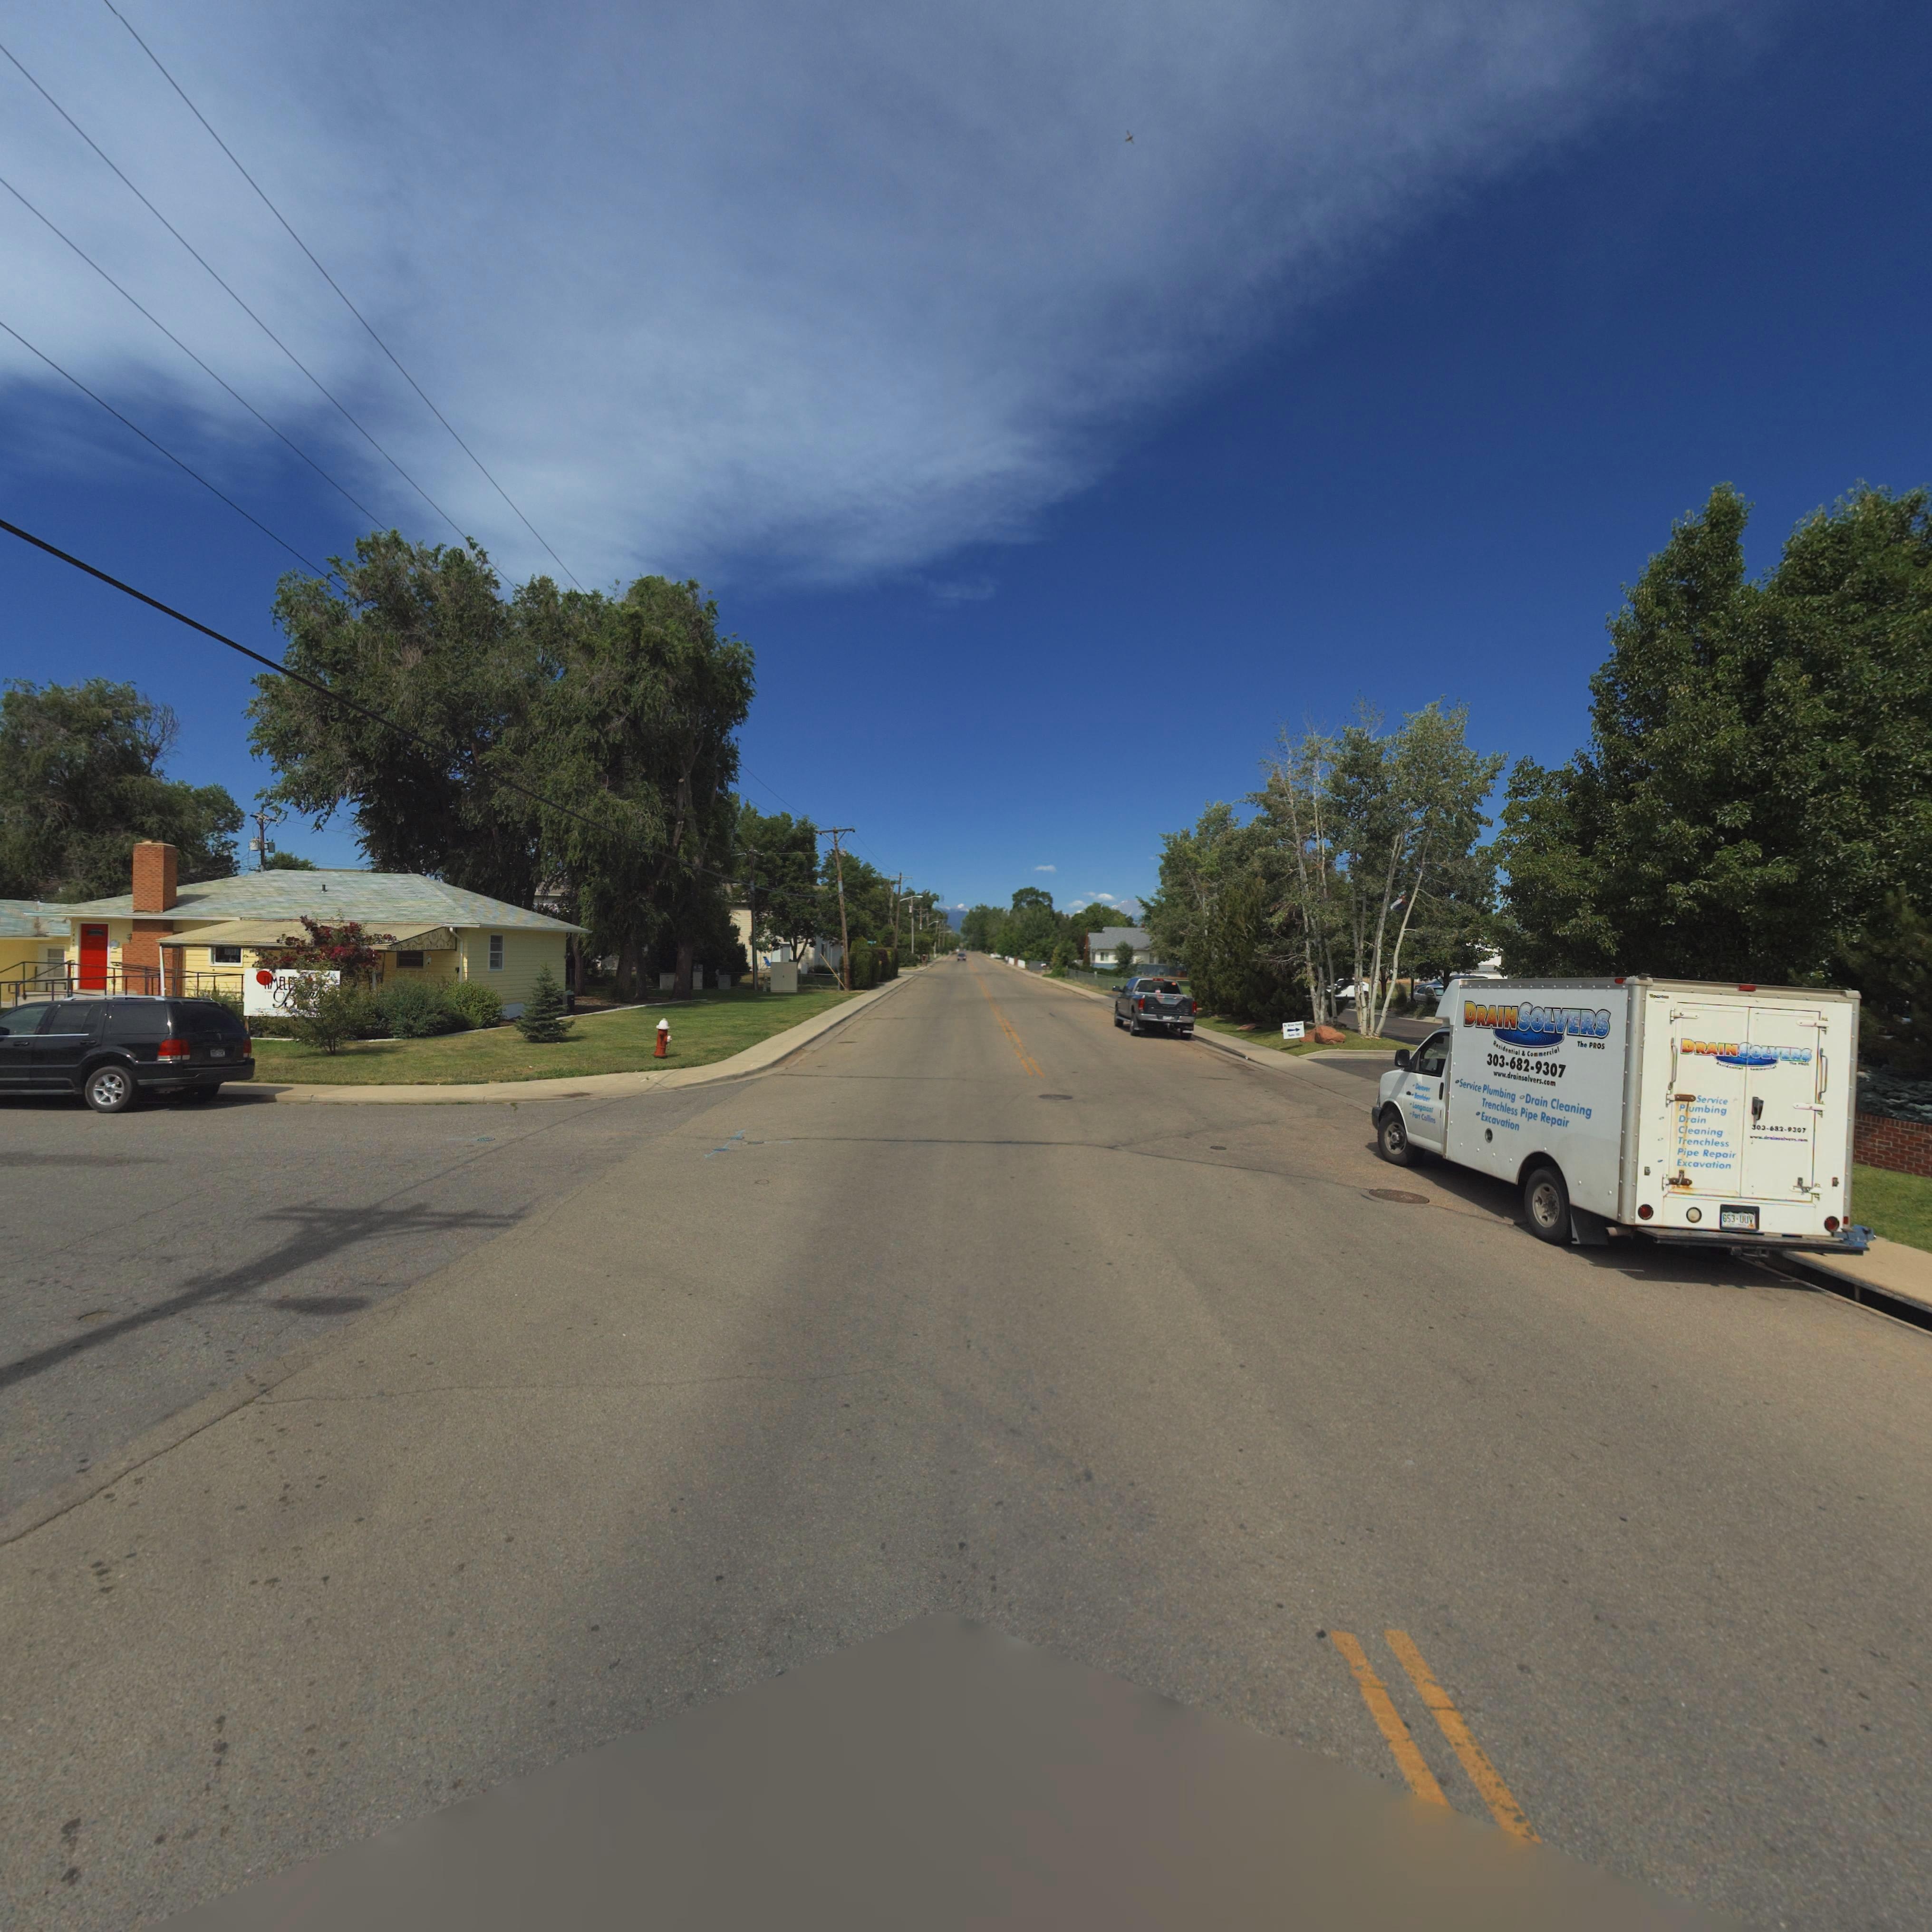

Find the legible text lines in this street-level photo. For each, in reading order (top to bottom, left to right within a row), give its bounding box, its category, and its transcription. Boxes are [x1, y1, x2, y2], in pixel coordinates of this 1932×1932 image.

[71, 927, 75, 947] StreetNumber: 1*4*